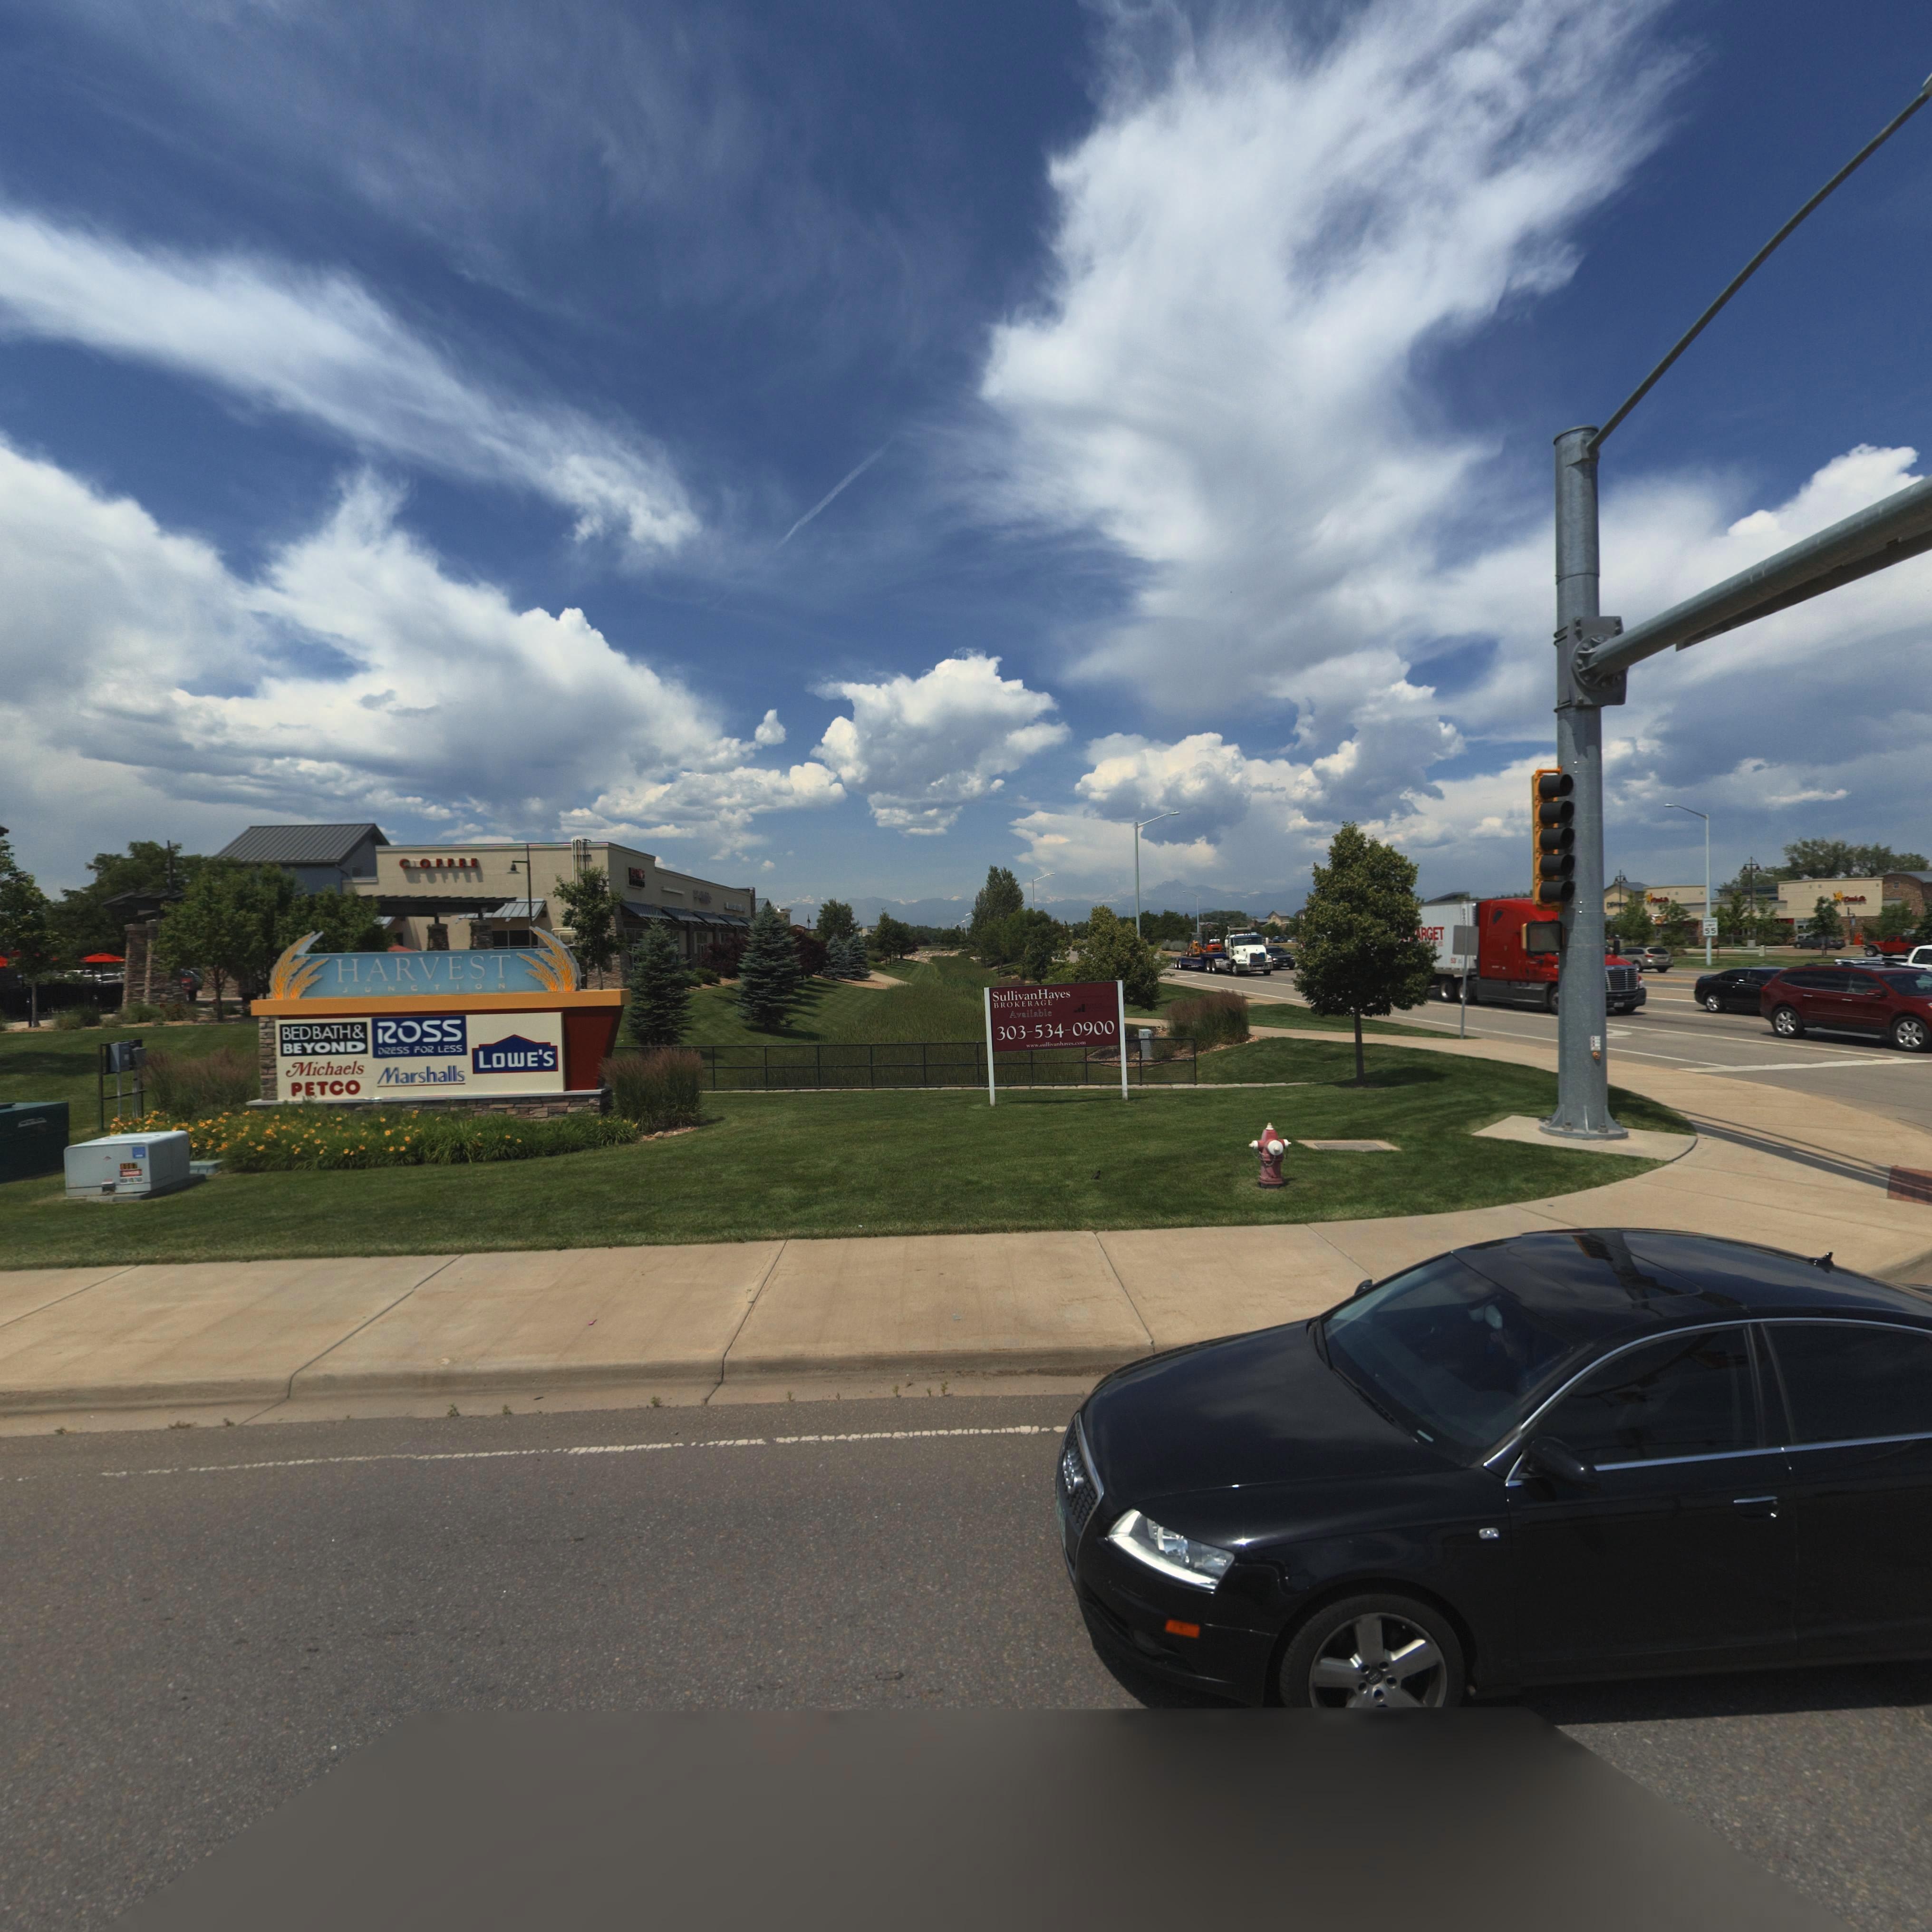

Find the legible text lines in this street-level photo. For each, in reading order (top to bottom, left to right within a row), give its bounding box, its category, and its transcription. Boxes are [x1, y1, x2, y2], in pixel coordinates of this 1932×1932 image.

[629, 866, 645, 879] BusinessName: *** F**G
[628, 879, 646, 888] BusinessName: CO*FEE
[1843, 894, 1866, 903] BusinessName: Ca*ls JR
[281, 1024, 365, 1041] BusinessName: BED BATH*
[377, 1019, 462, 1044] BusinessName: ROSS
[282, 1040, 366, 1054] BusinessName: BEYOND
[478, 1048, 554, 1069] BusinessName: LOWE'S
[284, 1059, 364, 1078] BusinessName: Michaels
[376, 1064, 465, 1085] BusinessName: Marshalls
[290, 1079, 361, 1097] BusinessName: PETCO